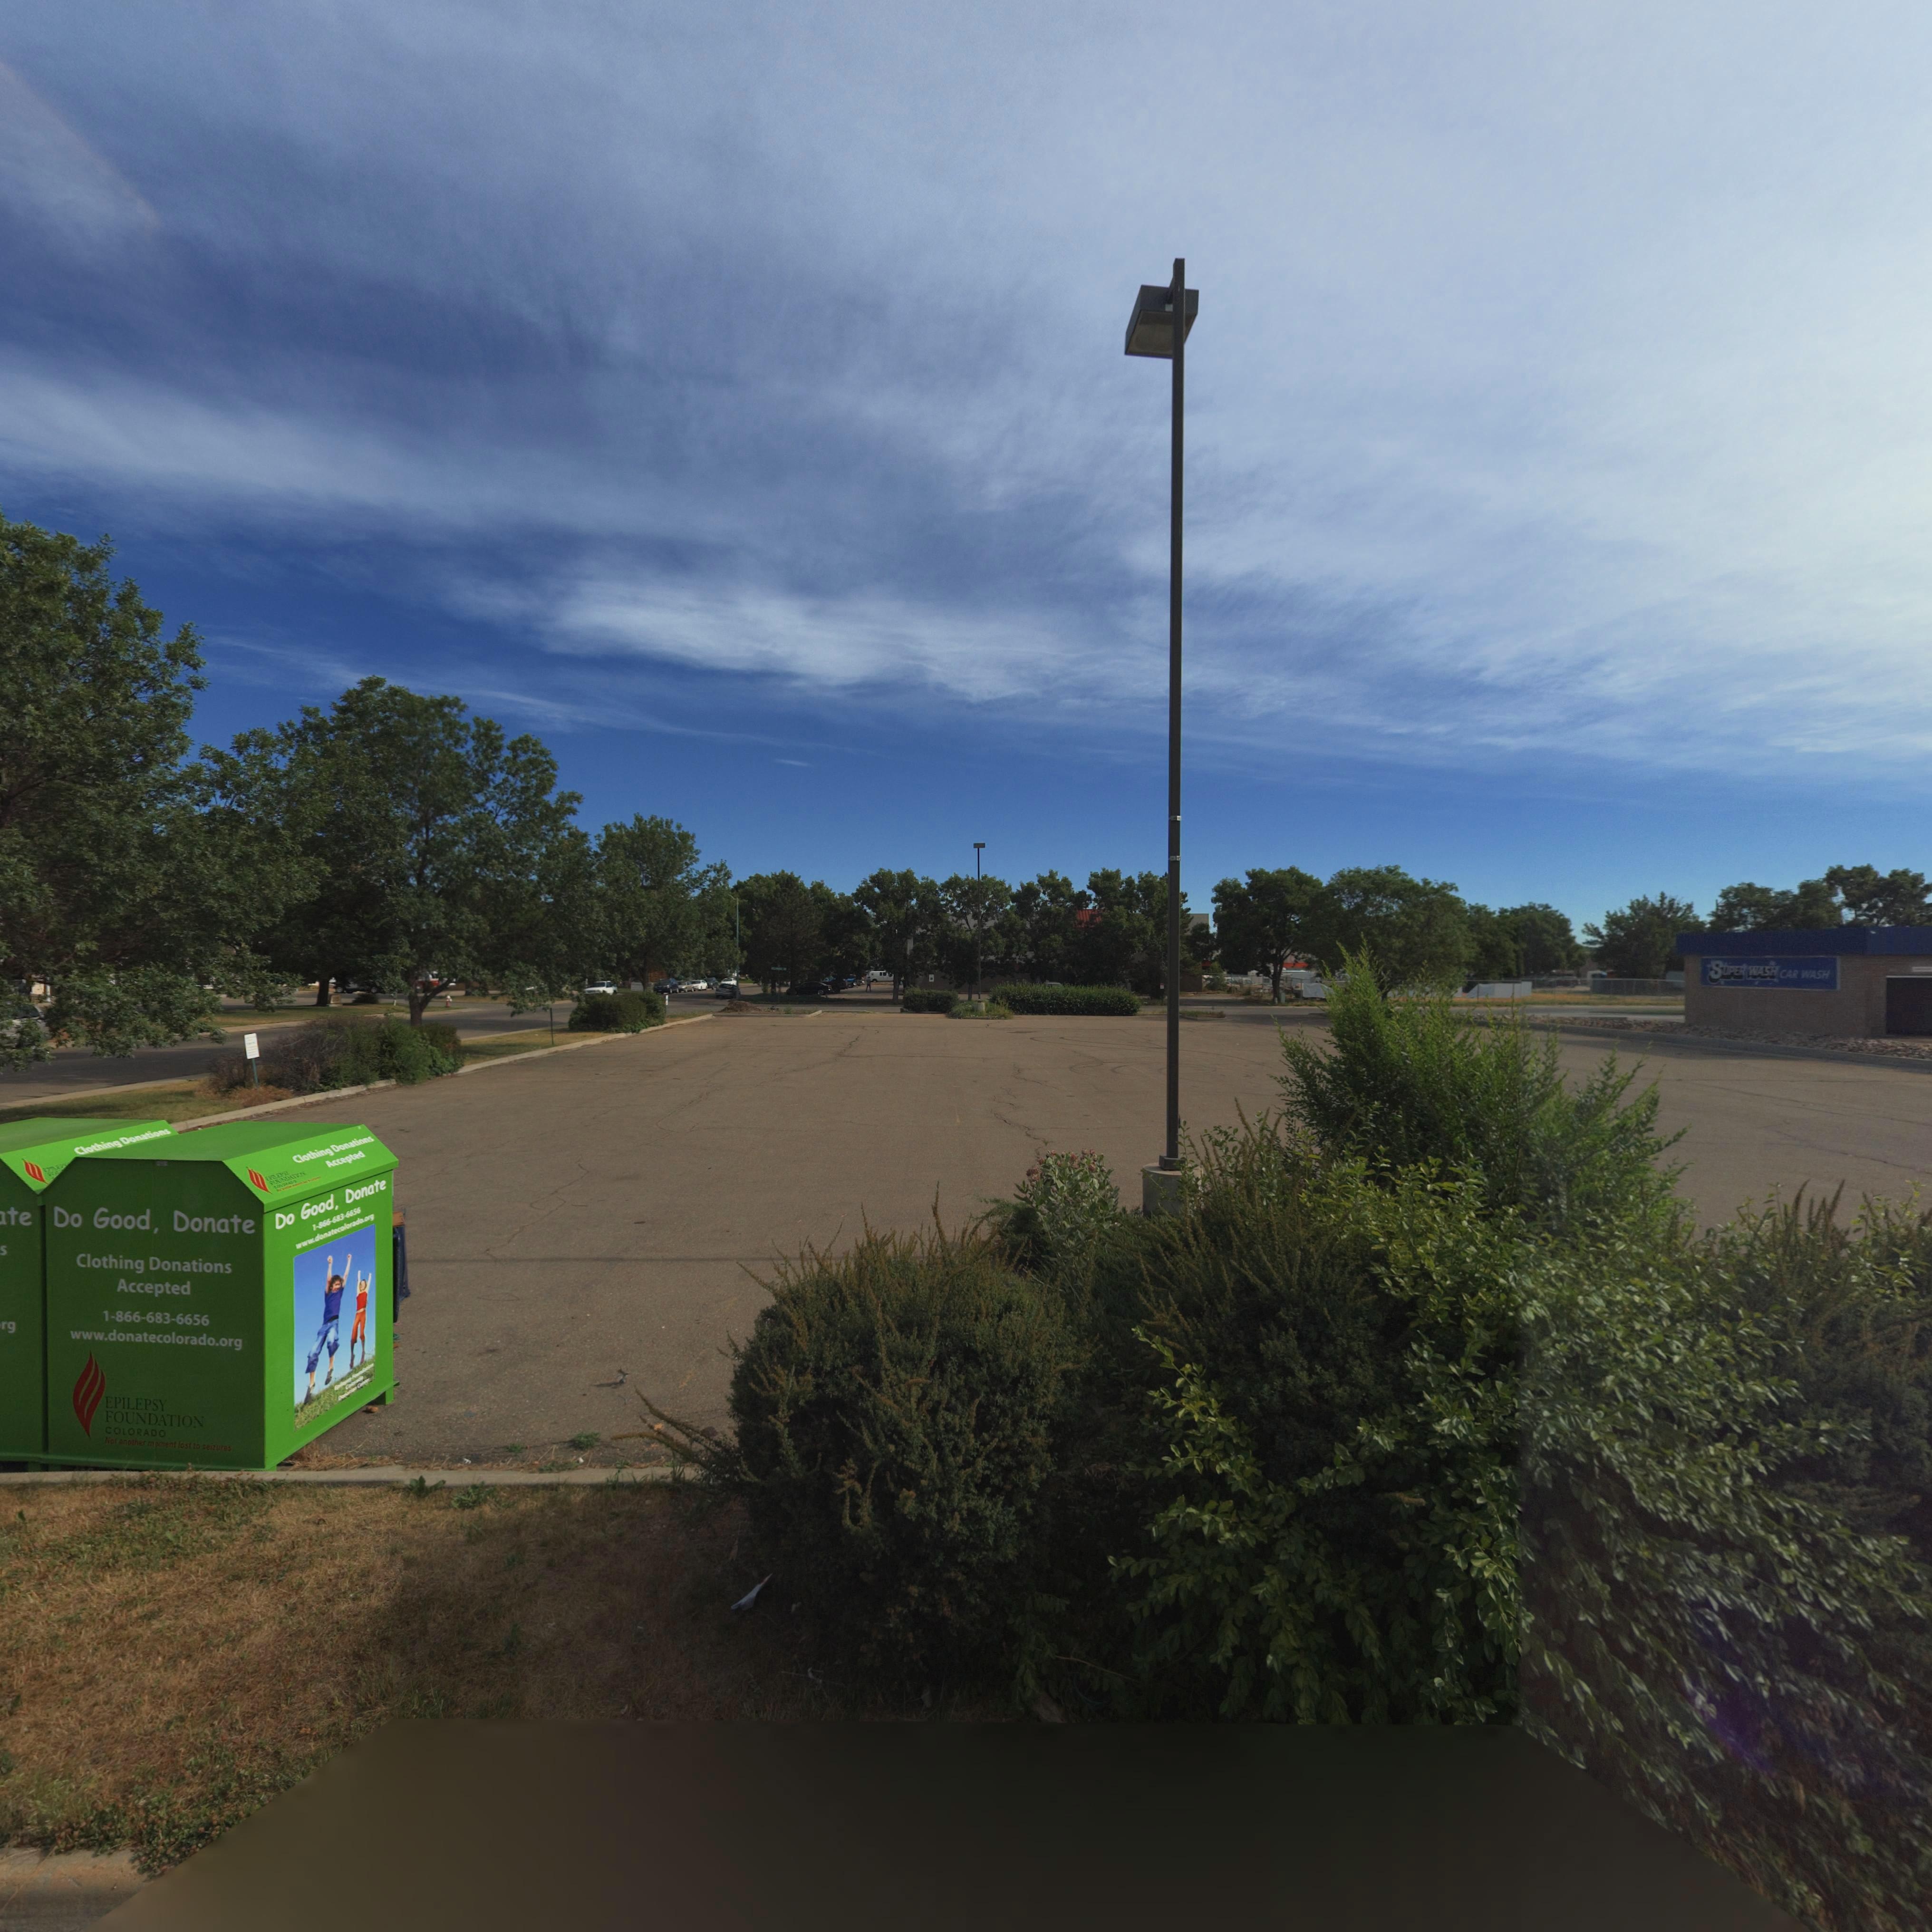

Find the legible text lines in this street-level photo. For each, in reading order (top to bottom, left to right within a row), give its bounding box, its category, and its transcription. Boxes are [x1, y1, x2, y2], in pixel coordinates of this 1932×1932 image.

[1710, 960, 1778, 979] BusinessName: SUPER WASH
[1779, 970, 1830, 978] BusinessName: CAR WASH